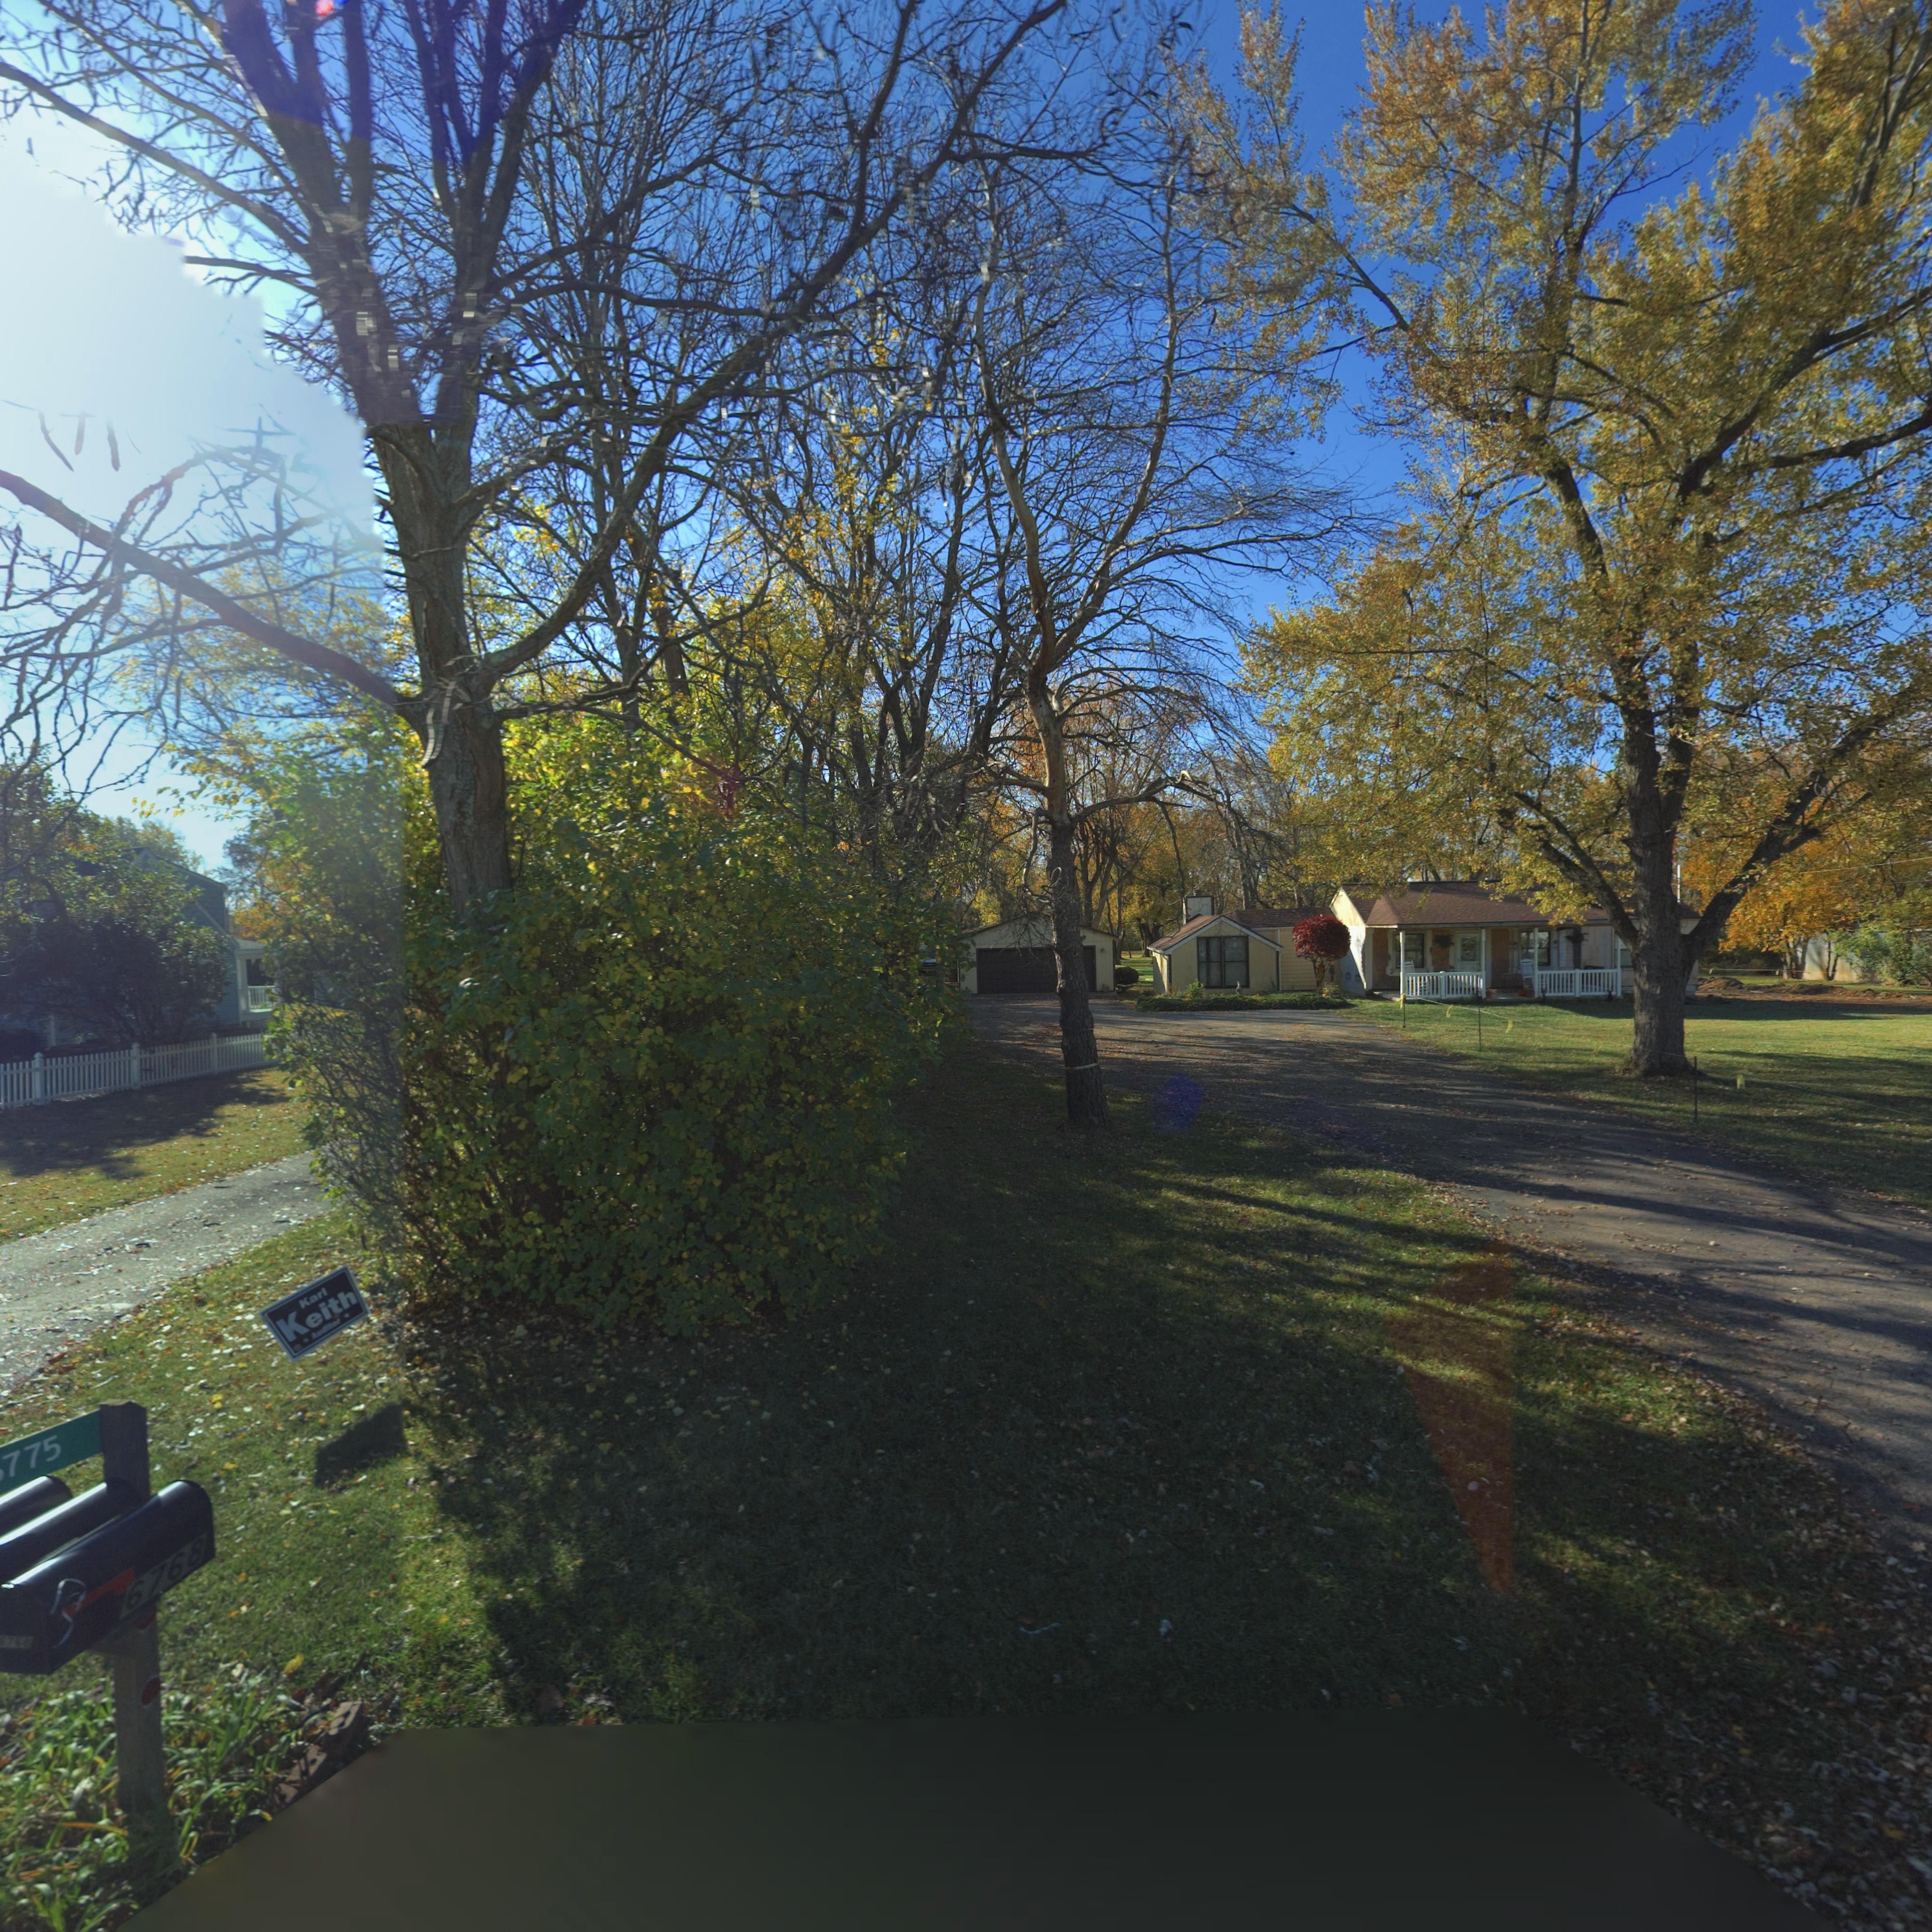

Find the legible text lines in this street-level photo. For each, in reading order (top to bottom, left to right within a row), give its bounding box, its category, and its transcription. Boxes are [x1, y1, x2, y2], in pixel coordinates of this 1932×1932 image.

[1, 1430, 65, 1481] StreetNumber: 775
[124, 1534, 207, 1613] StreetNumber: 6768
[0, 1634, 33, 1650] StreetNumber: *7**